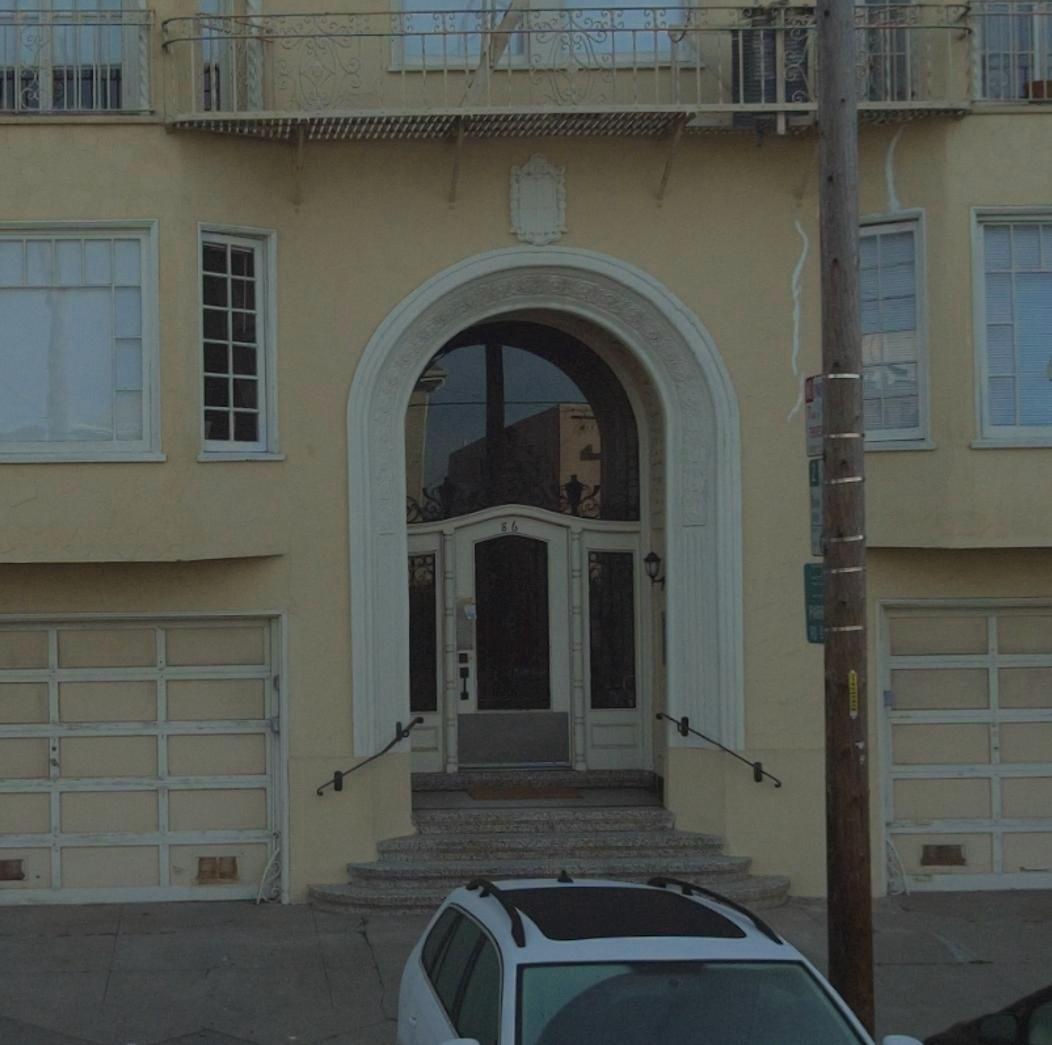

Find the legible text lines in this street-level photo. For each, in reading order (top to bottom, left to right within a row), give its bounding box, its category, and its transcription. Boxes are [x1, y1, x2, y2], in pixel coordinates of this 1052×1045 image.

[499, 519, 520, 535] StreetNumber: 86